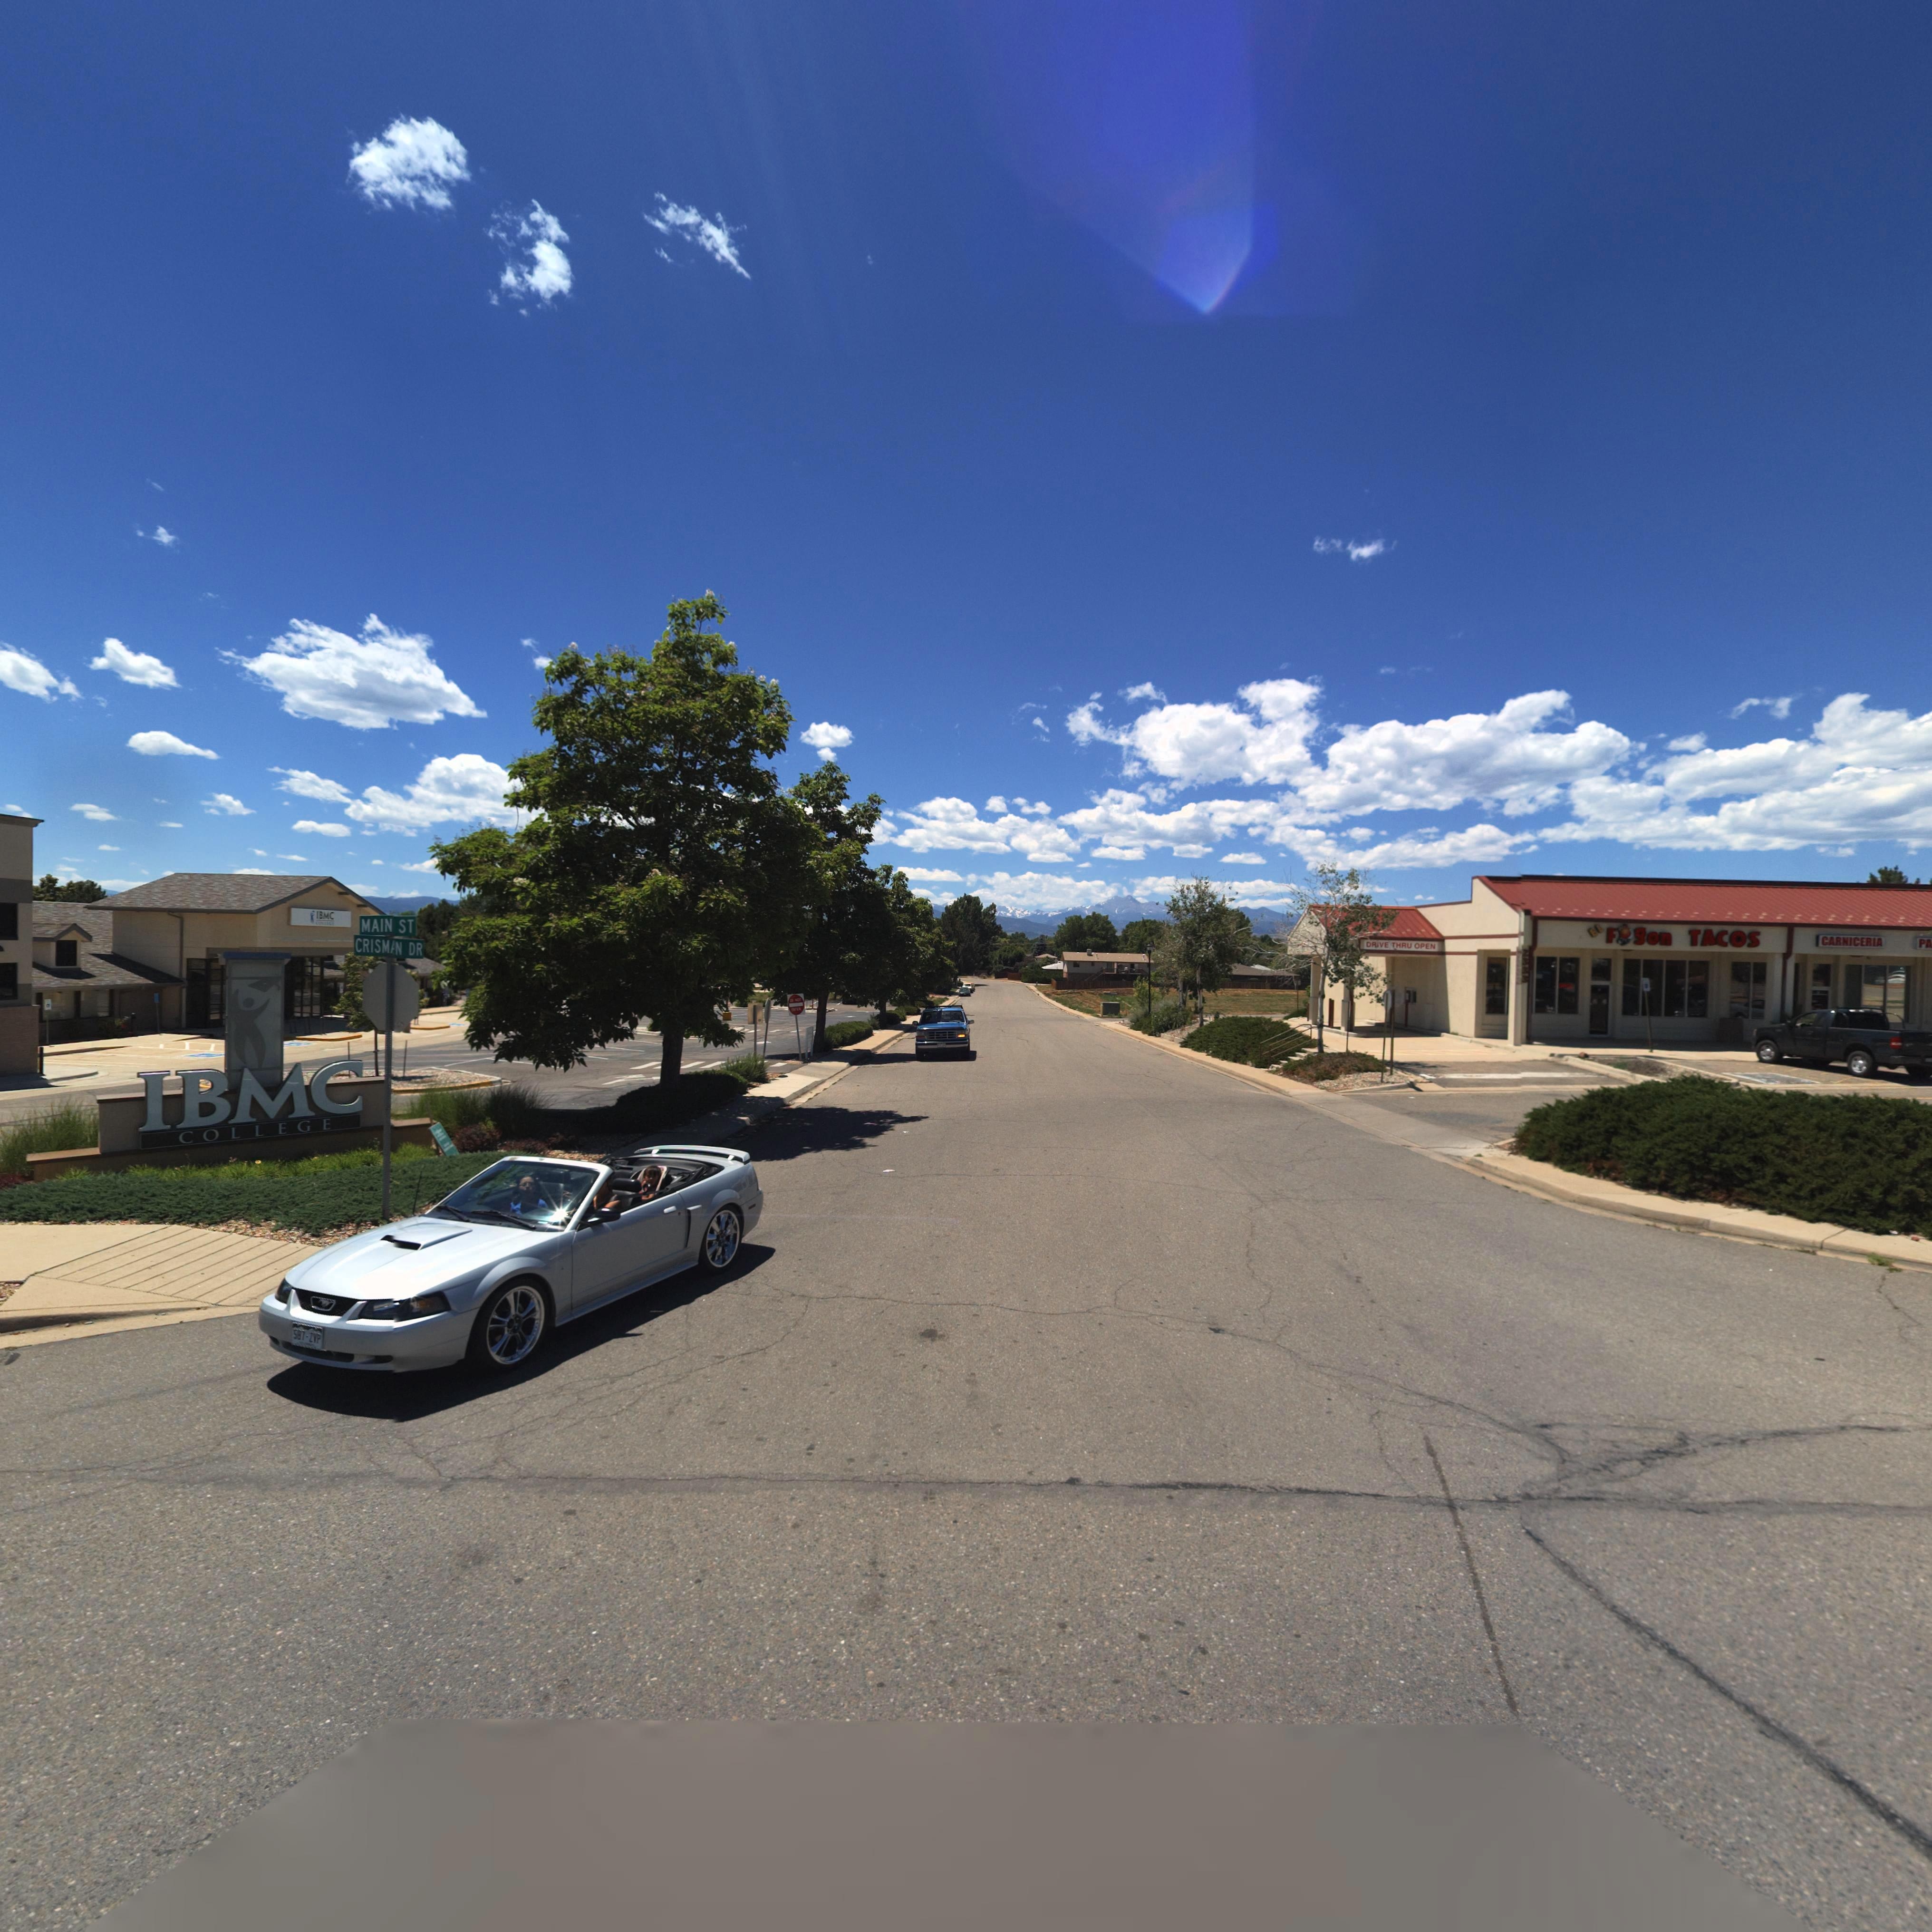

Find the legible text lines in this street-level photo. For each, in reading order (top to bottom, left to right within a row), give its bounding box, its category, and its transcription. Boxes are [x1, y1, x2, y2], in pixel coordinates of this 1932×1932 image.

[316, 910, 334, 920] BusinessName: IBMC
[361, 918, 414, 933] StreetName: MAIN ST
[355, 937, 423, 956] StreetName: CRISM*N DR
[1588, 924, 1604, 938] BusinessName: EL
[1606, 925, 1762, 948] BusinessName: F*gon TACOS
[1521, 948, 1529, 983] StreetNumber: 2333
[136, 1059, 364, 1133] BusinessName: IBMC
[178, 1118, 331, 1144] BusinessName: COLLEGE